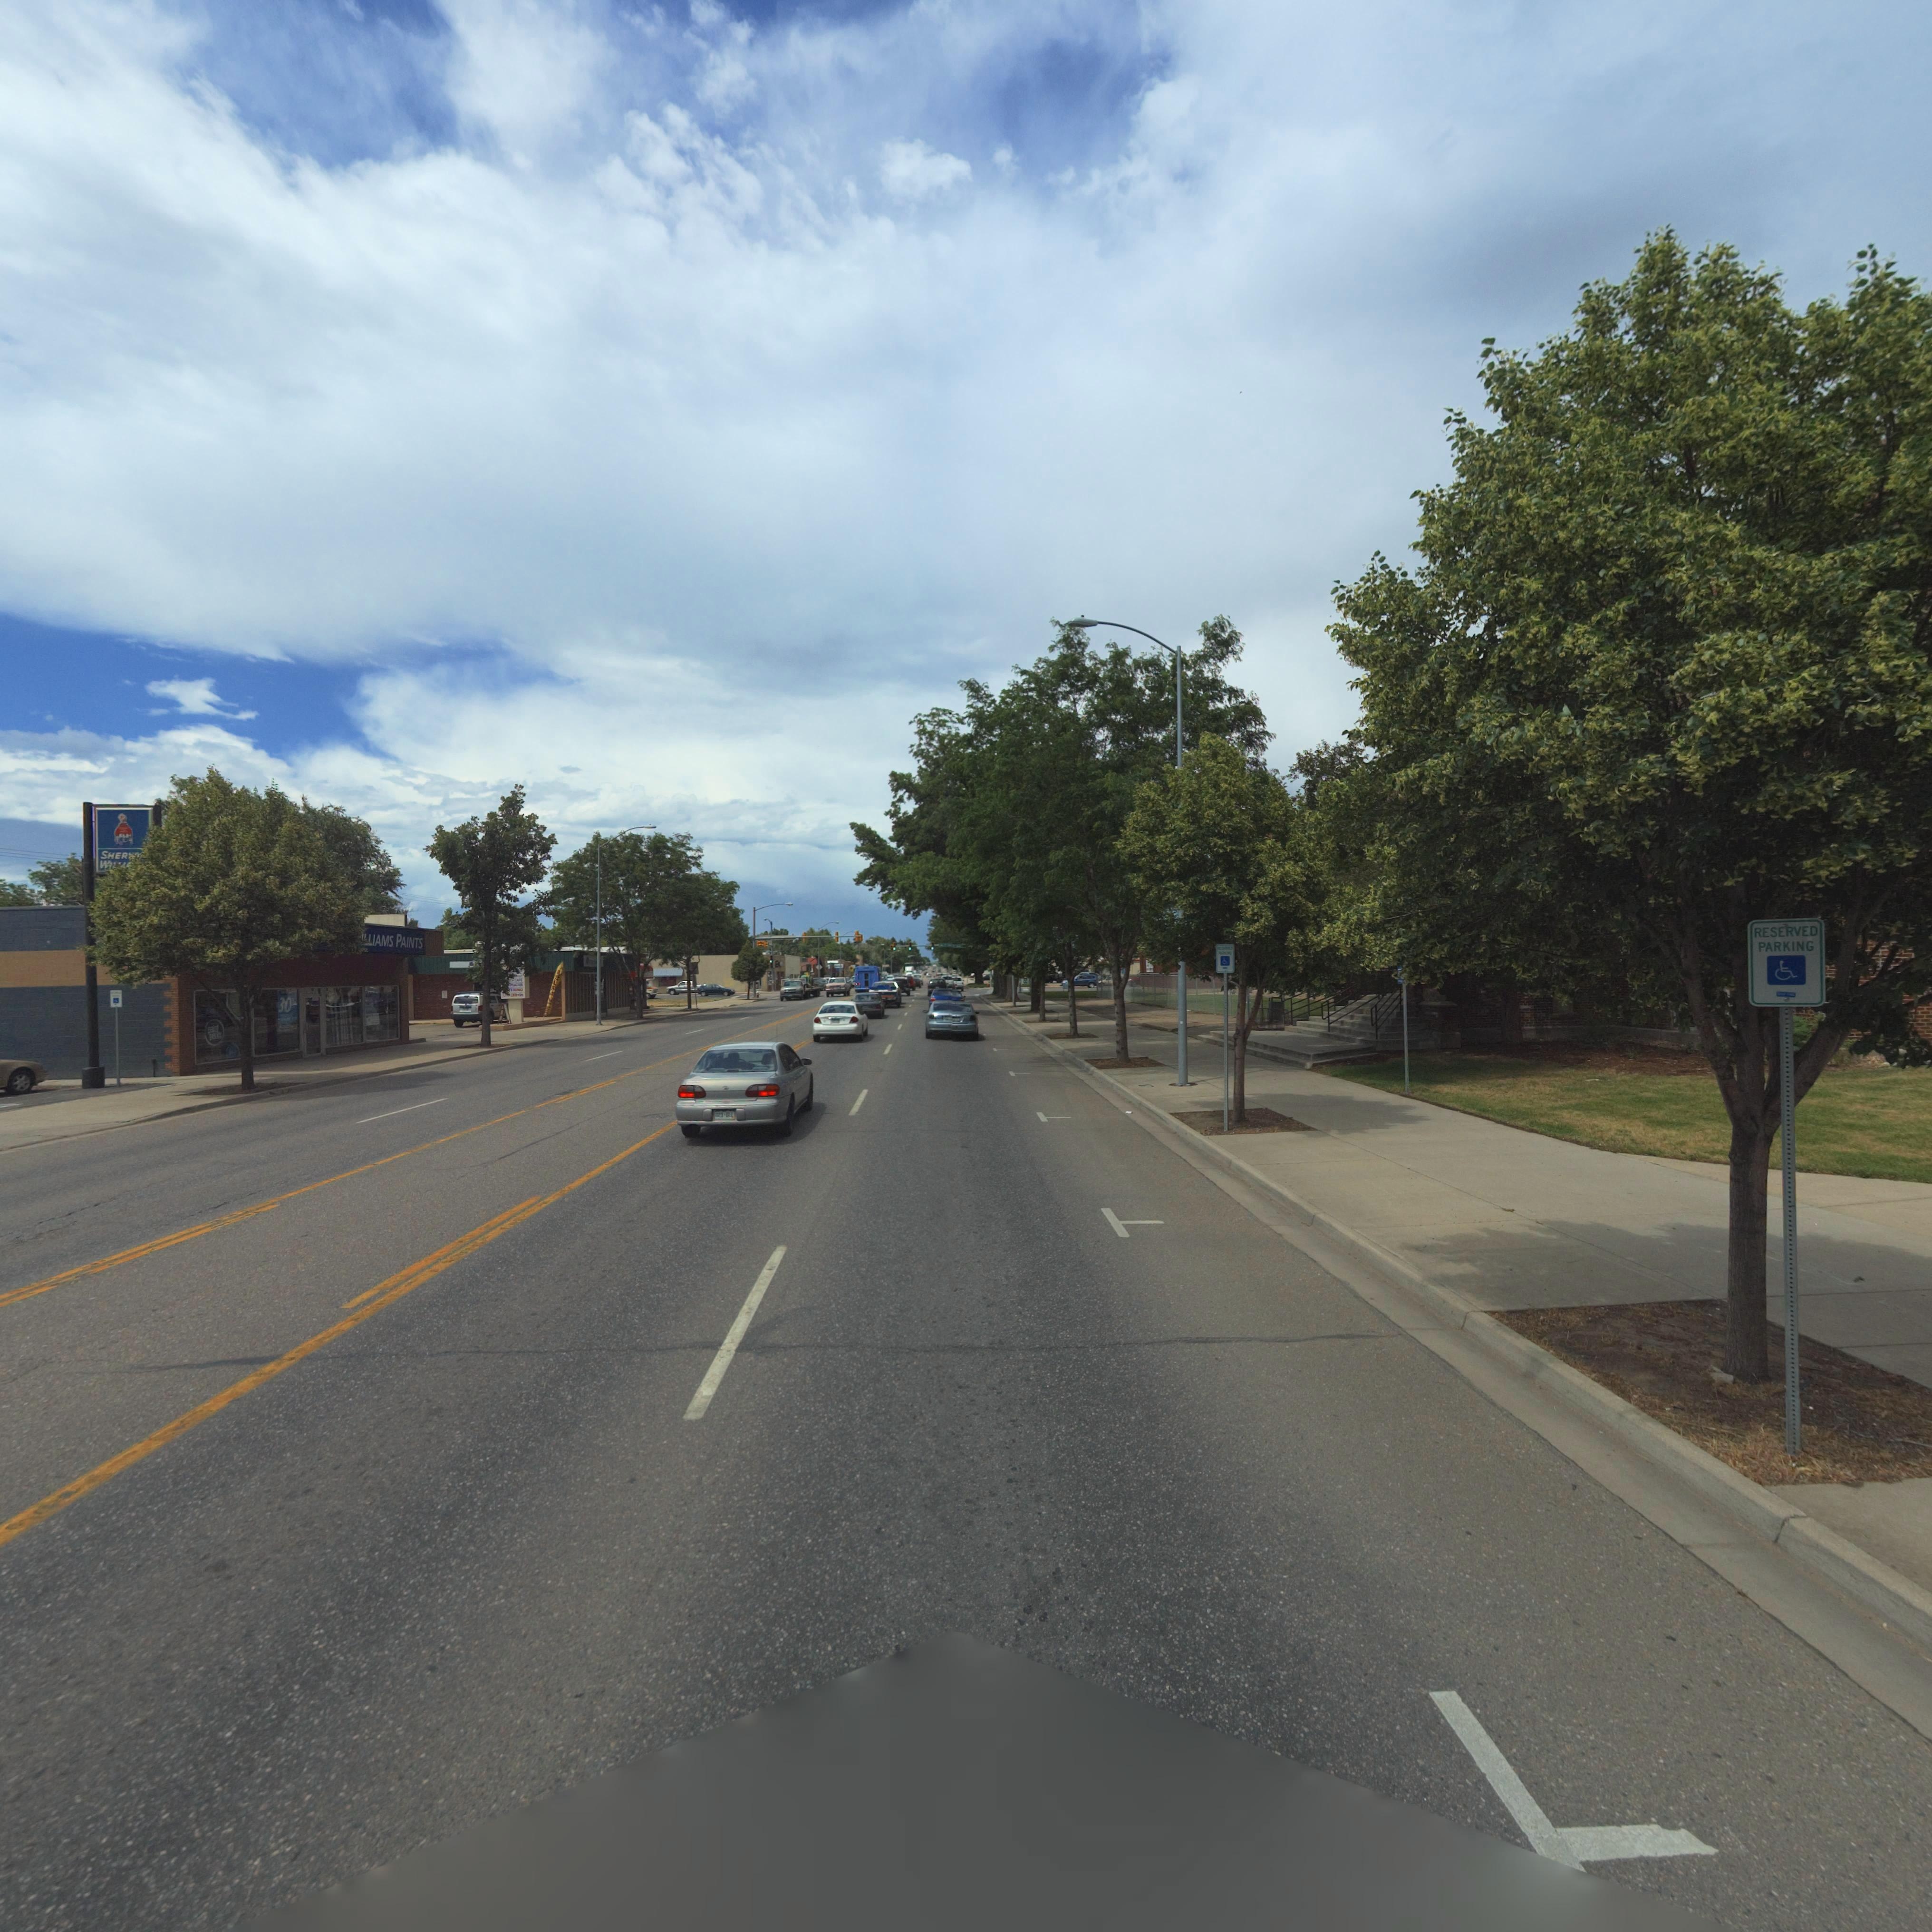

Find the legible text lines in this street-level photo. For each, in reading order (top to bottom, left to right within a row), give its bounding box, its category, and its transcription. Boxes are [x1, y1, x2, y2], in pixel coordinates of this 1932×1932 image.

[100, 850, 128, 860] BusinessName: SHER
[99, 860, 116, 869] BusinessName: WIL
[363, 933, 423, 949] BusinessName: **IAMS PAINTS